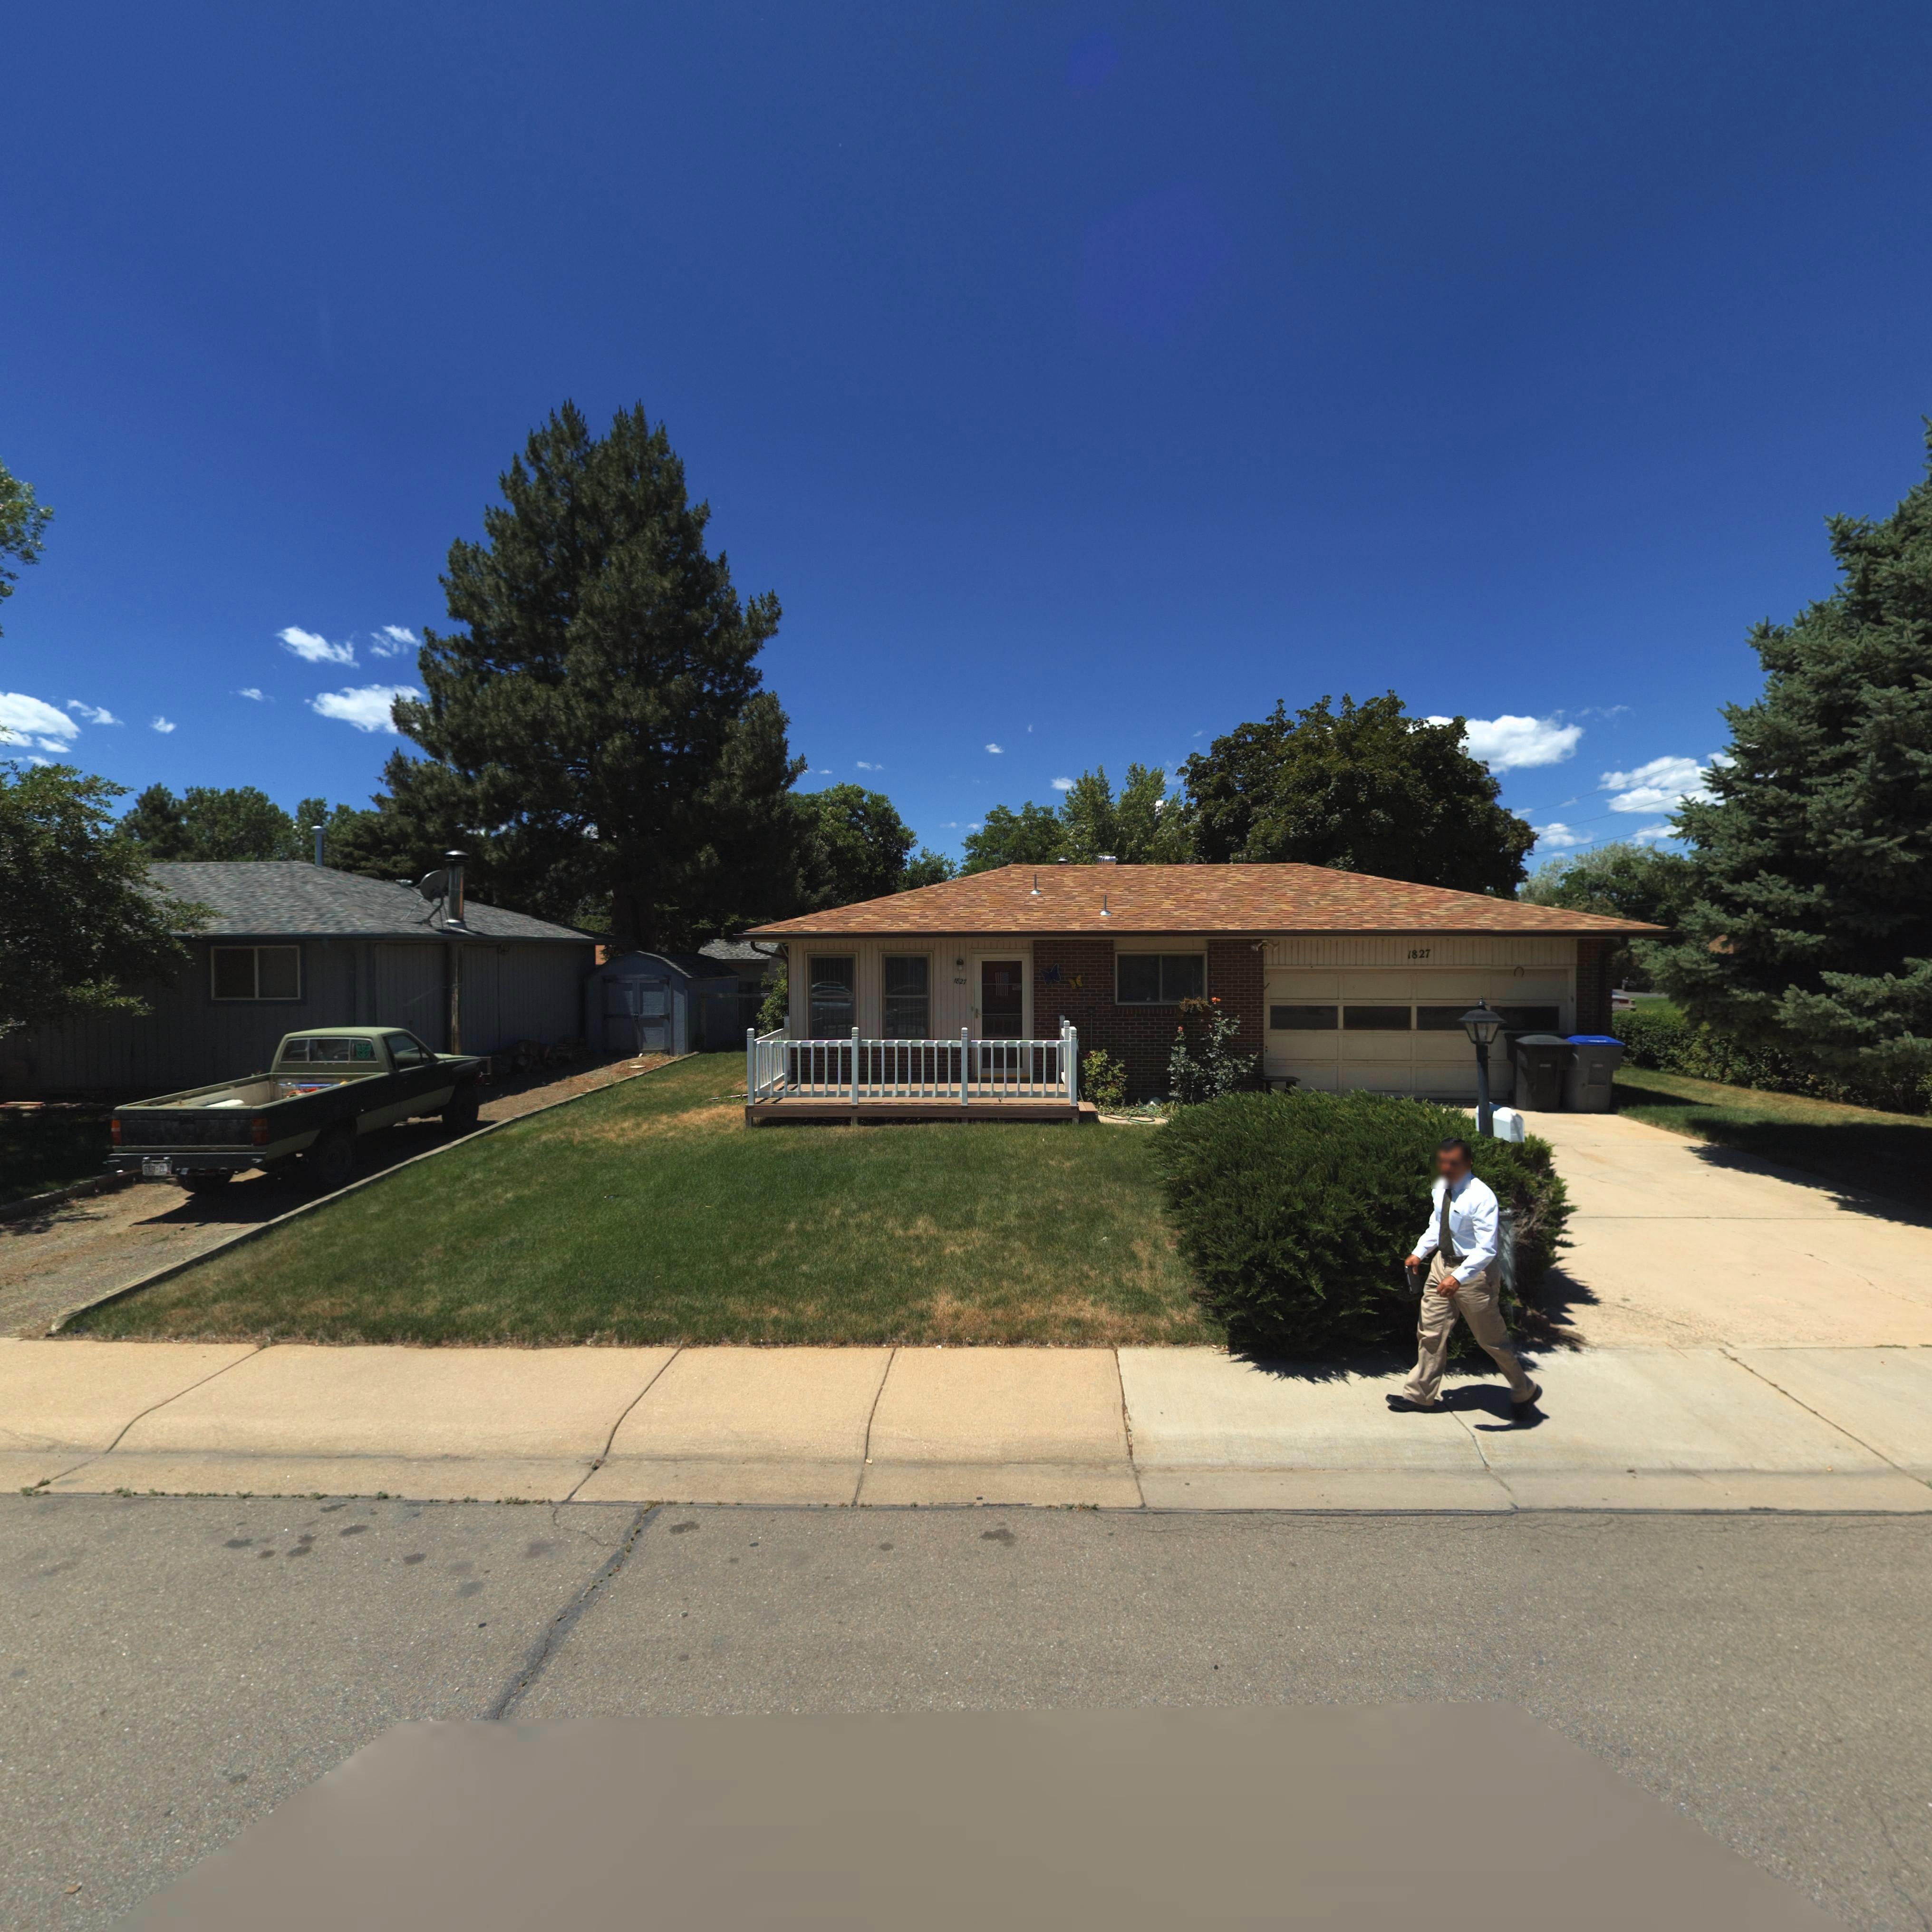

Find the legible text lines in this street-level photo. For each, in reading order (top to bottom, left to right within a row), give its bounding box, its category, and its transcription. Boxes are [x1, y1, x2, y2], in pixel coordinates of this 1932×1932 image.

[1407, 948, 1431, 959] StreetNumber: 1827
[953, 977, 967, 985] StreetNumber: 1827